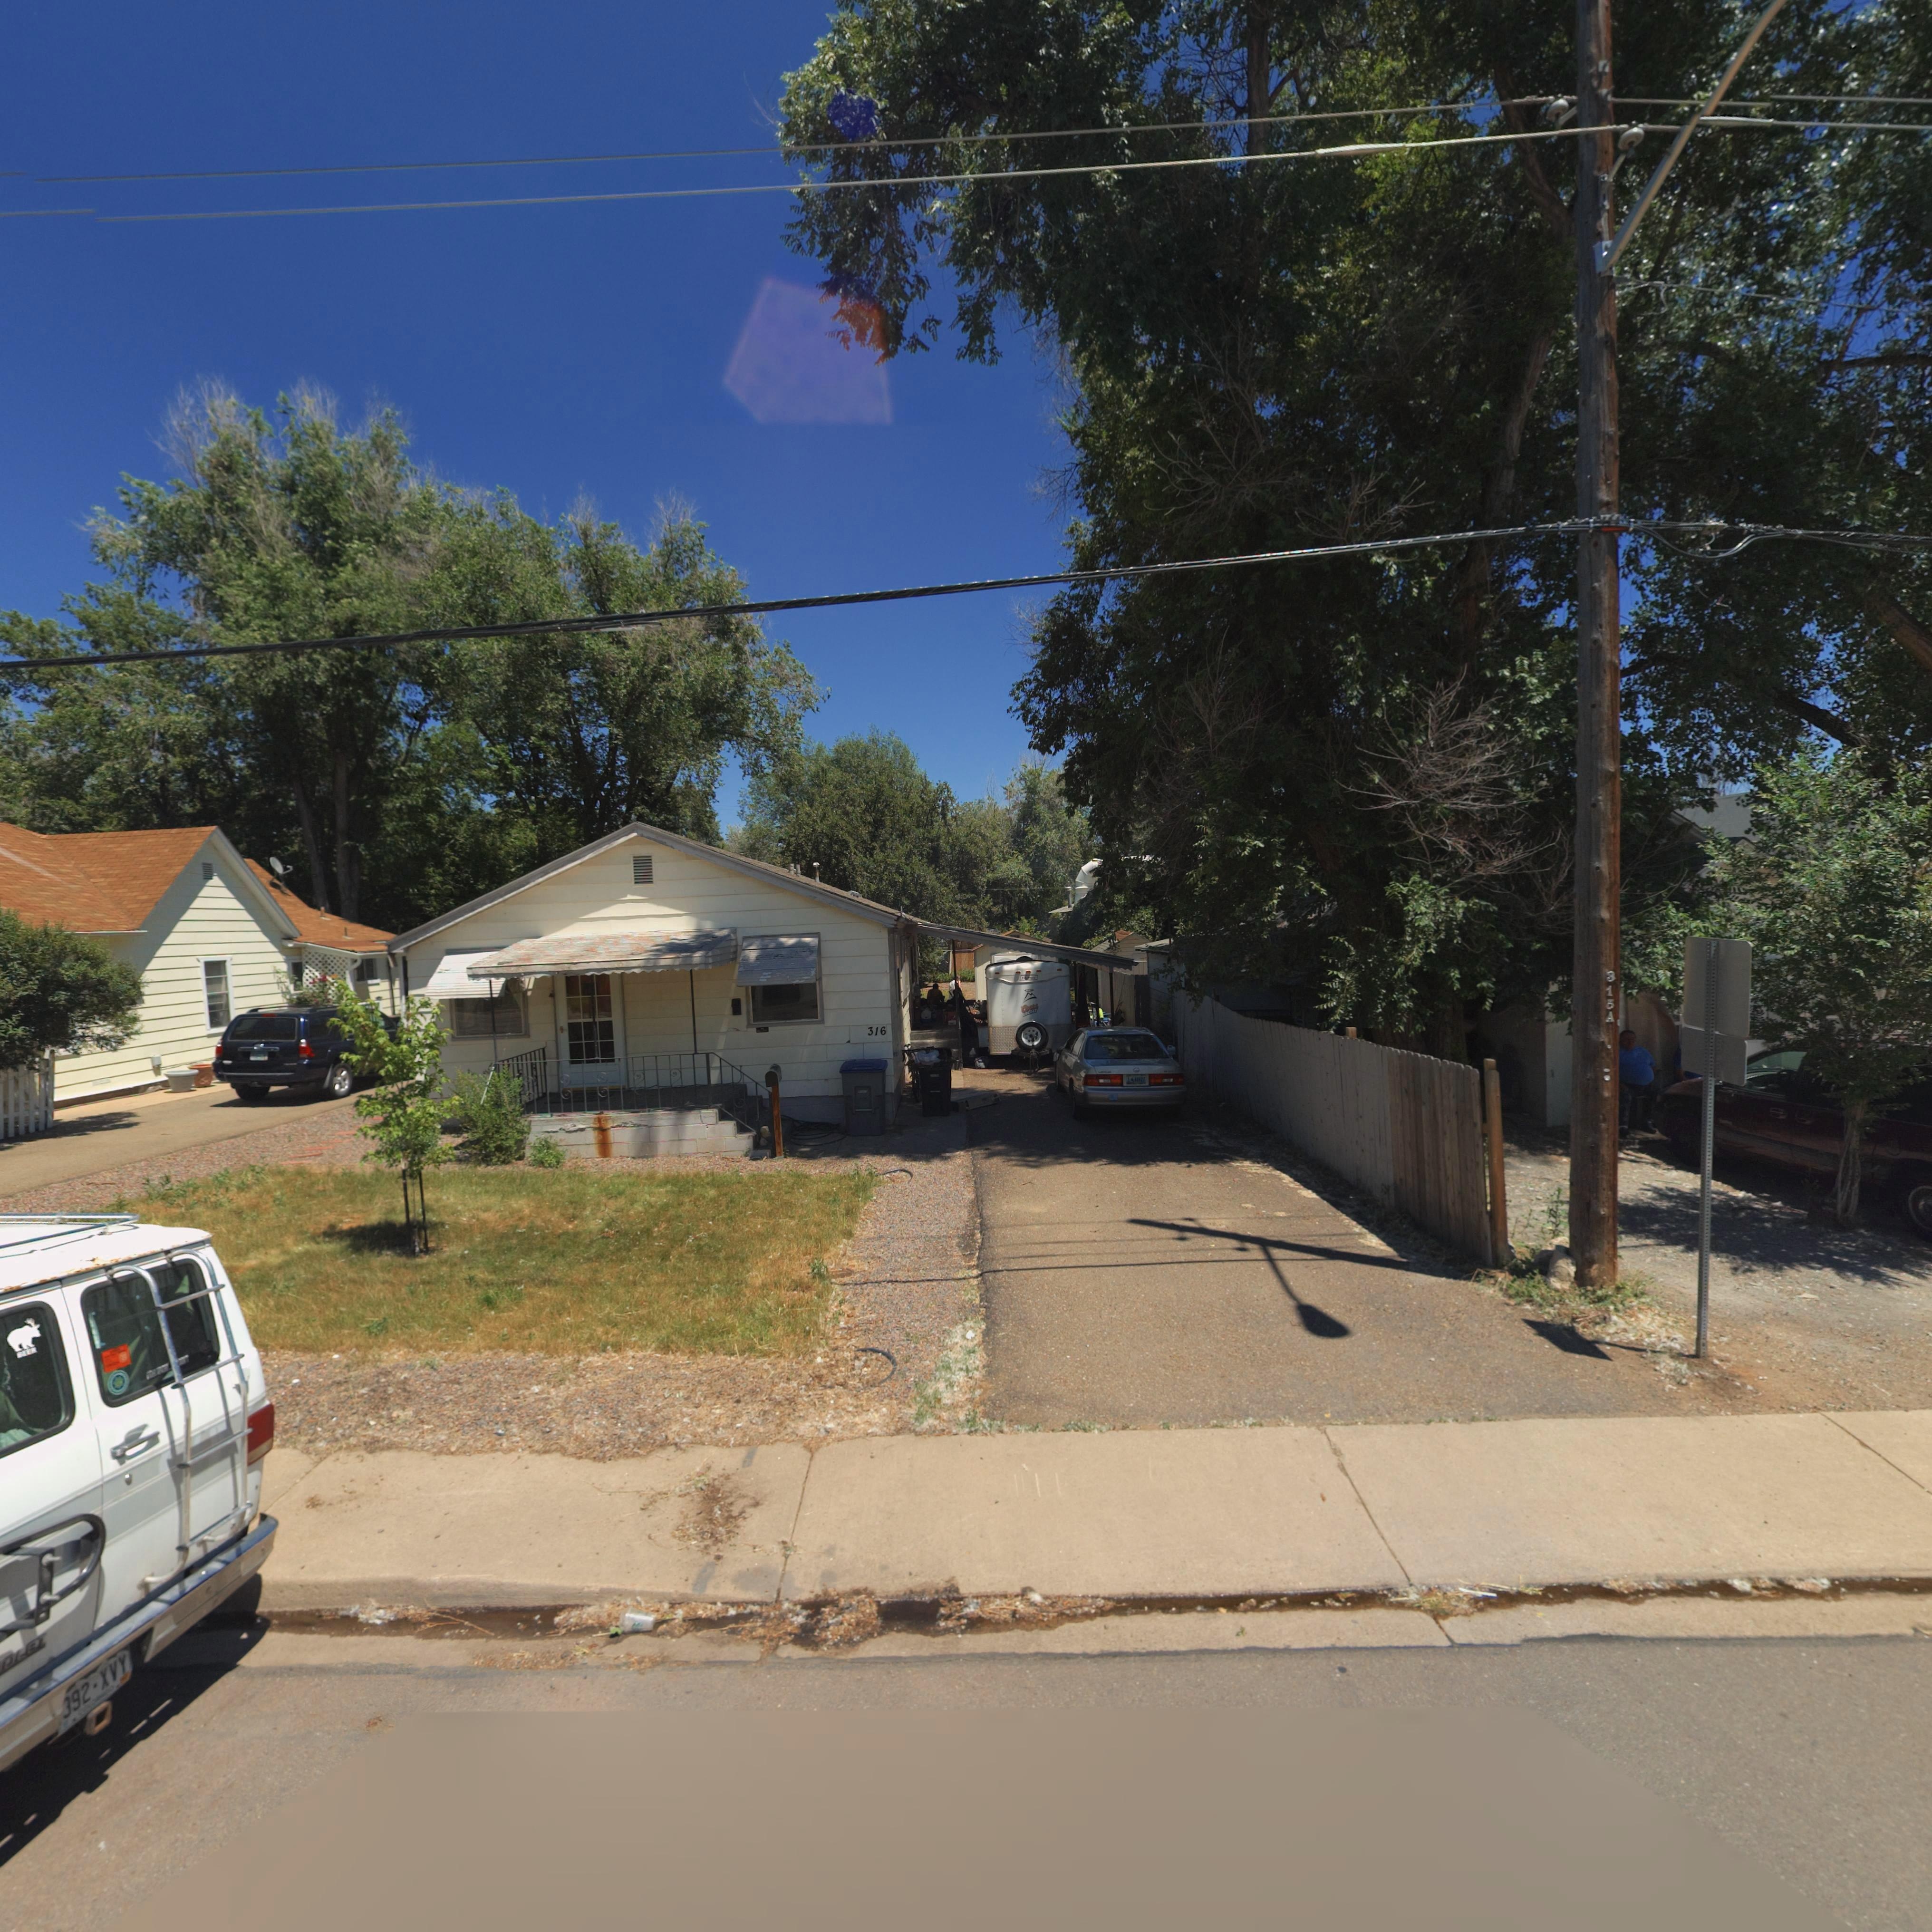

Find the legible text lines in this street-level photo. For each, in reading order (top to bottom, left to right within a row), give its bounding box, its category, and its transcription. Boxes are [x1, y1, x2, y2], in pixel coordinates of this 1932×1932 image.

[867, 1025, 887, 1036] StreetNumber: 316